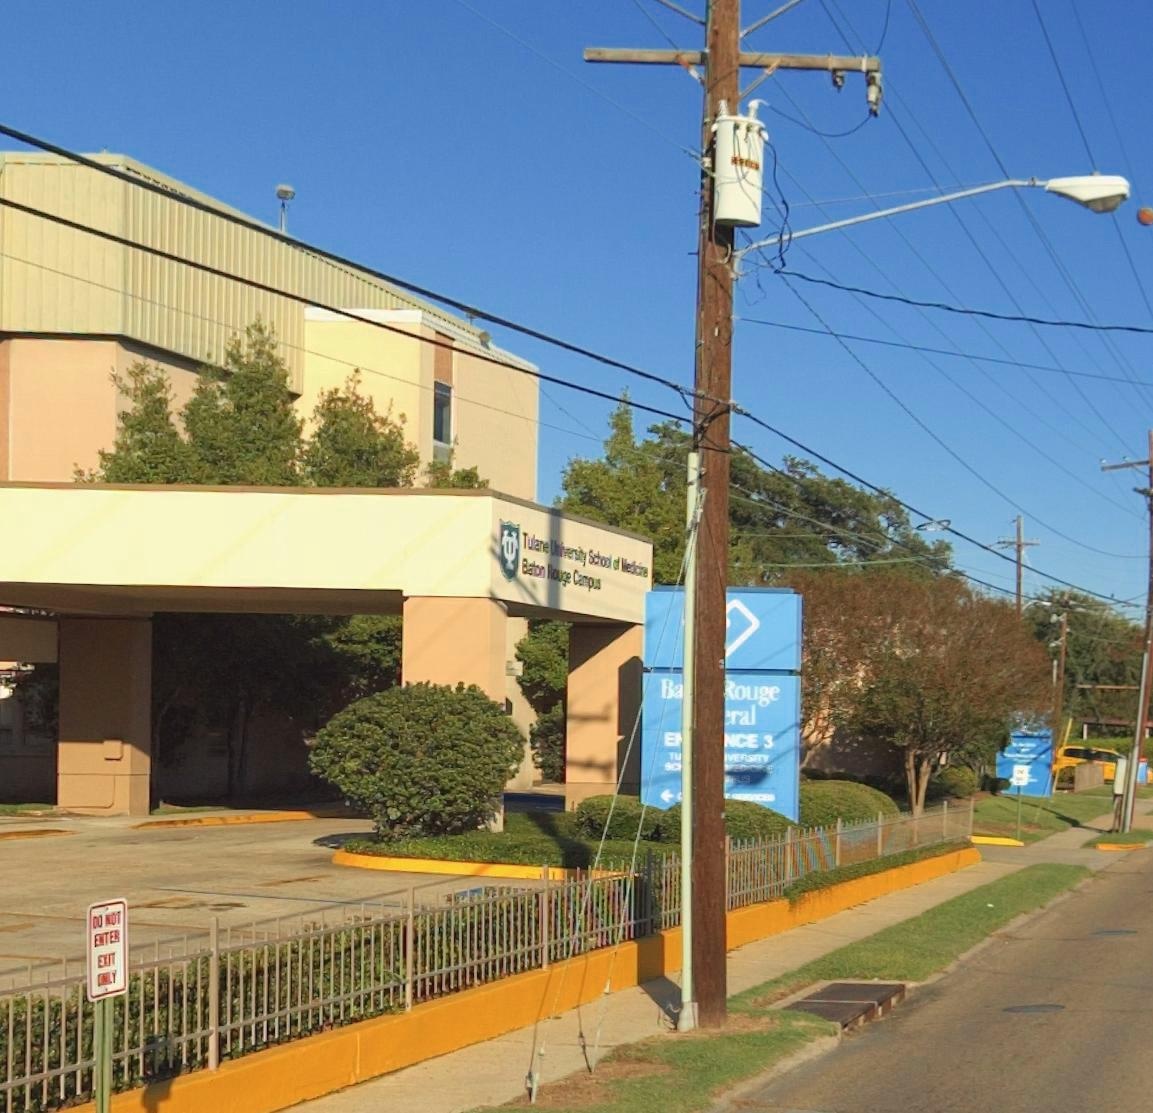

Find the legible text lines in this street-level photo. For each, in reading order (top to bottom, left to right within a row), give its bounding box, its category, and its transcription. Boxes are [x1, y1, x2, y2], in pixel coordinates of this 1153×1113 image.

[520, 530, 651, 582] BusinessName: Tulane University School of Medicine
[520, 554, 604, 595] BusinessName: Baton Rouge Campus
[659, 677, 782, 709] BusinessName: Ba *ouge
[729, 704, 757, 728] BusinessName: ral
[663, 729, 775, 750] None: E NCE 3
[666, 751, 771, 764] None: TU VERSITY
[91, 907, 124, 932] None: DO NOT
[93, 925, 123, 950] None: ENTER
[96, 949, 117, 971] None: EXIT
[96, 967, 117, 990] None: ONLY